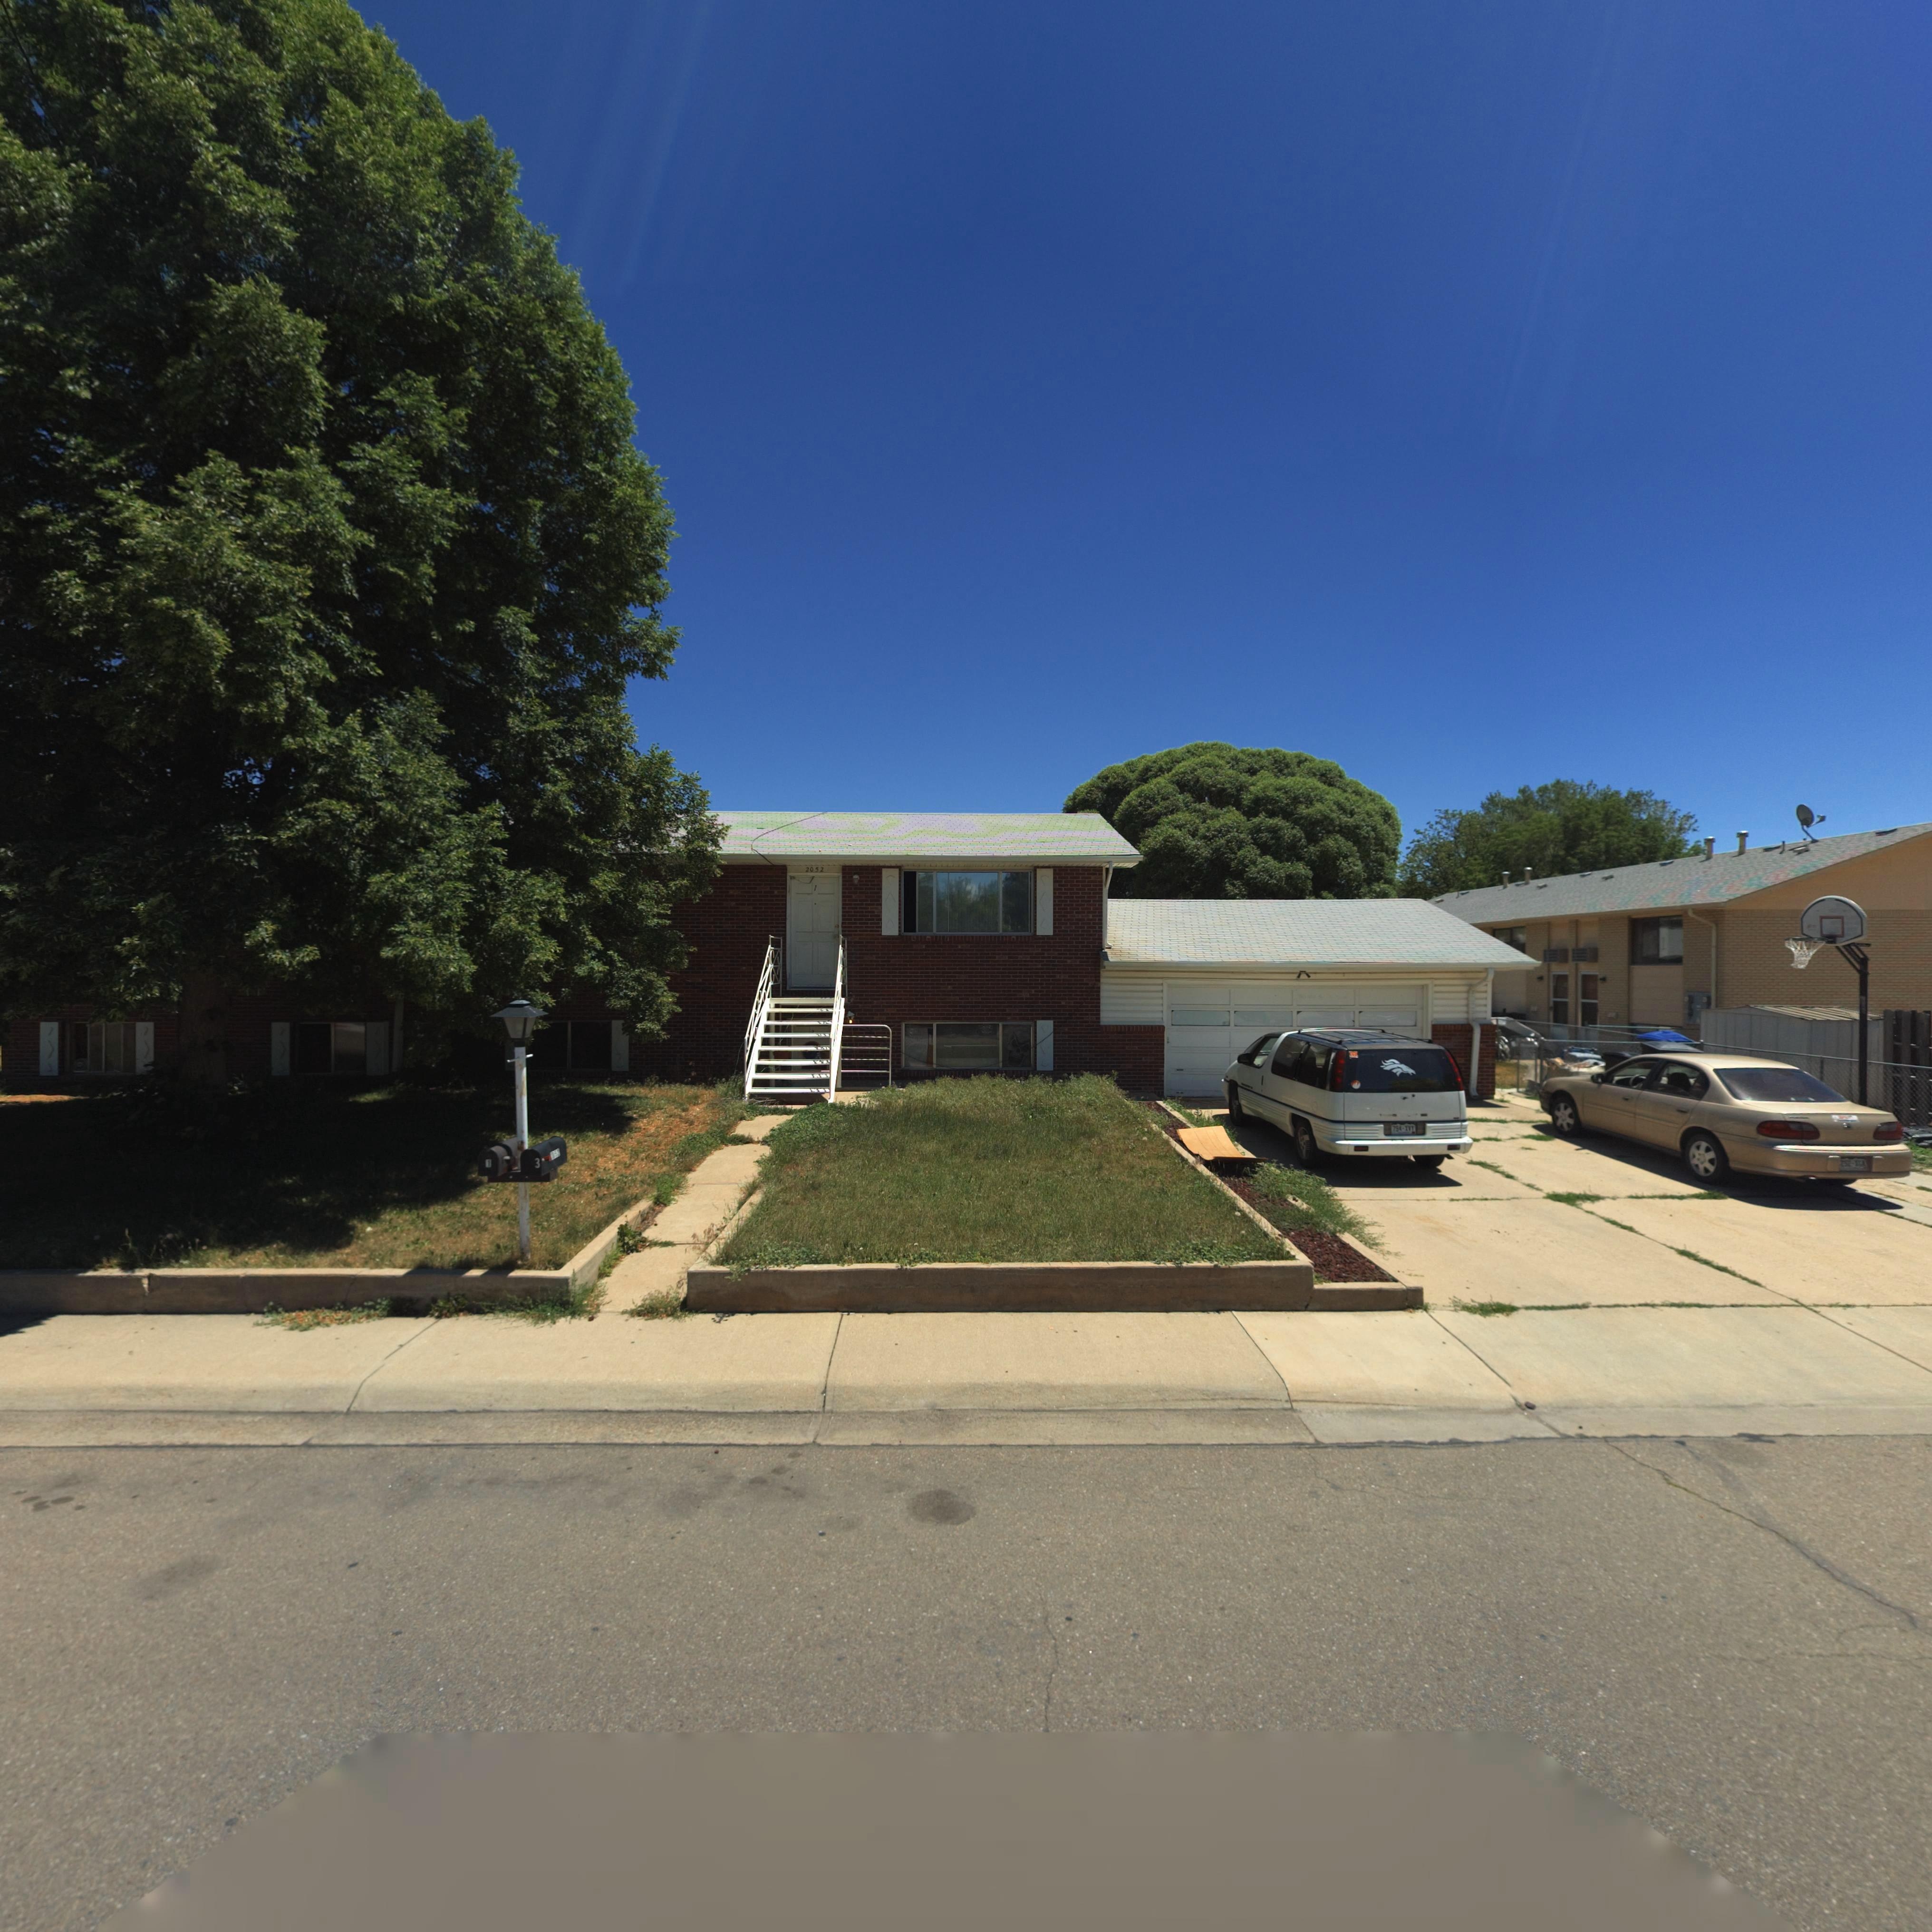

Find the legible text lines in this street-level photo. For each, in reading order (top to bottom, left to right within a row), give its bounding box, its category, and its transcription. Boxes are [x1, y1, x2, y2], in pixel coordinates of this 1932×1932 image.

[805, 866, 823, 872] StreetNumber: 2052
[813, 884, 817, 891] StreetNumber: 1
[486, 1159, 491, 1167] StreetNumber: 1
[533, 1157, 540, 1169] StreetNumber: 3